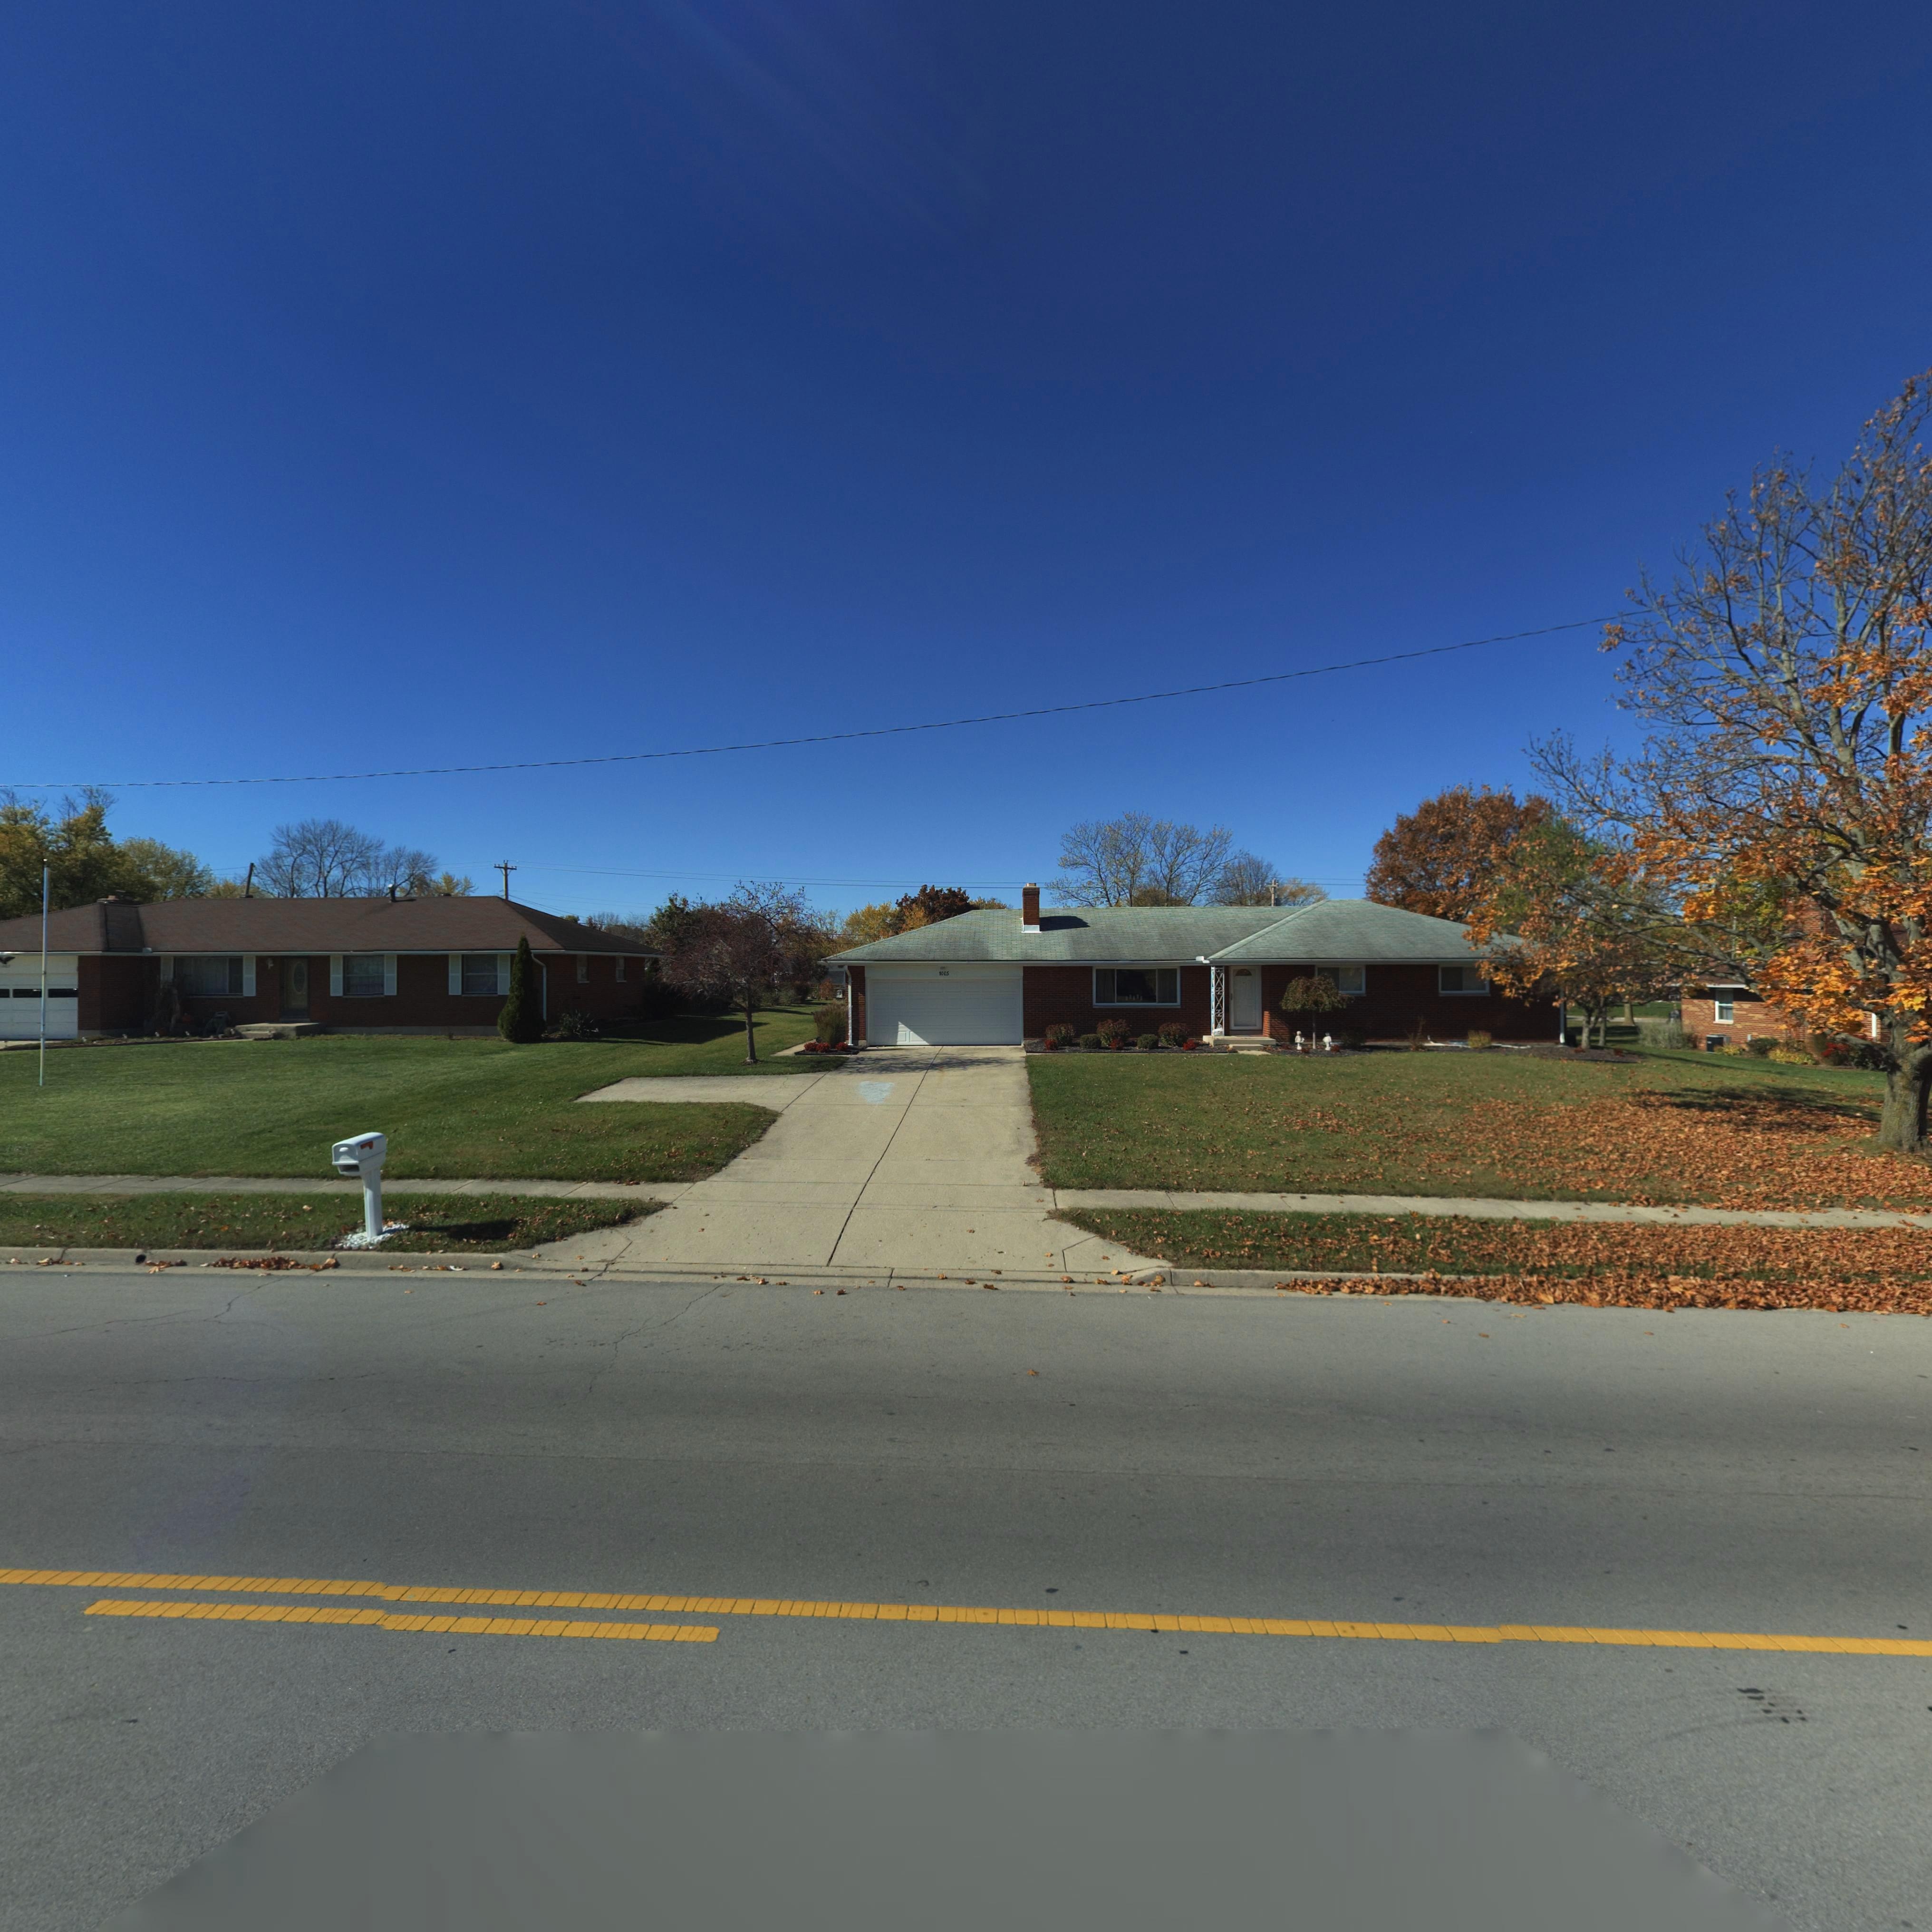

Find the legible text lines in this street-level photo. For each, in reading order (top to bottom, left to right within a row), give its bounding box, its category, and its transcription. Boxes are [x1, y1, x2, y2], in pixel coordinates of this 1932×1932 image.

[938, 970, 950, 976] StreetNumber: 1005